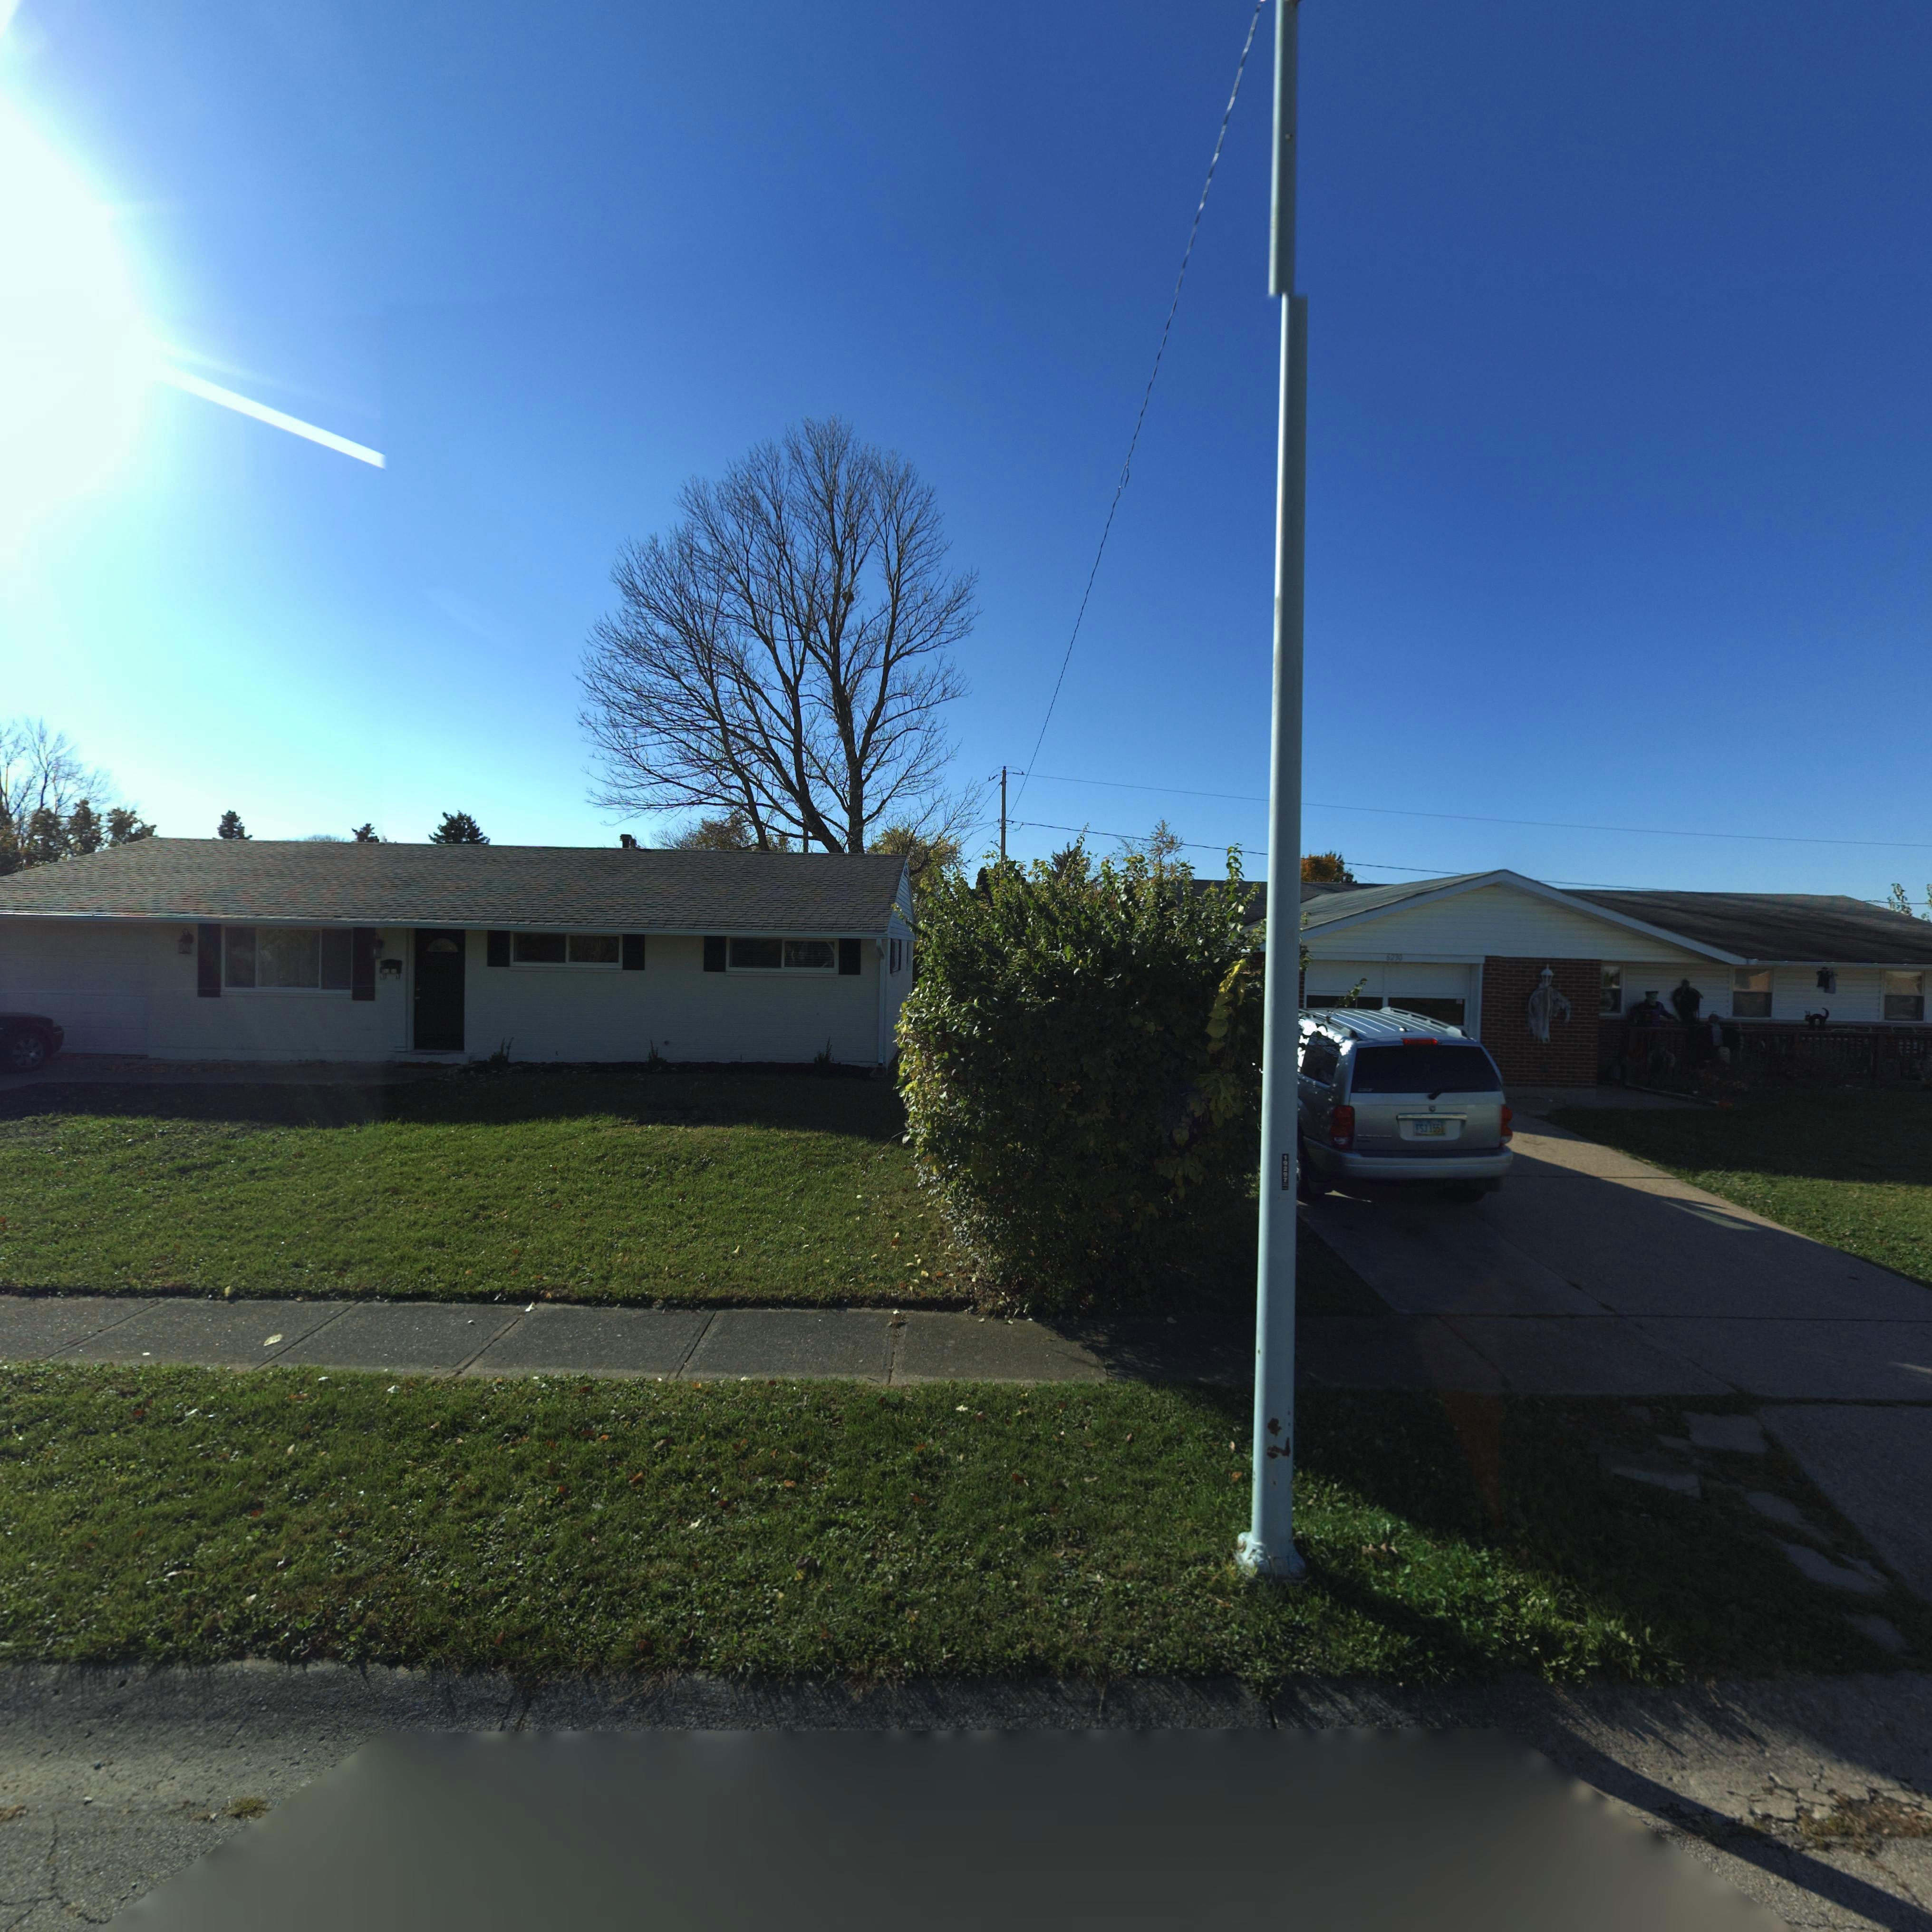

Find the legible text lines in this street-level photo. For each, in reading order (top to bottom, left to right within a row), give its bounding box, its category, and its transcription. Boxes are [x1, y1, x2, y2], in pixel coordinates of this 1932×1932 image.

[1386, 953, 1403, 962] StreetNumber: 6230